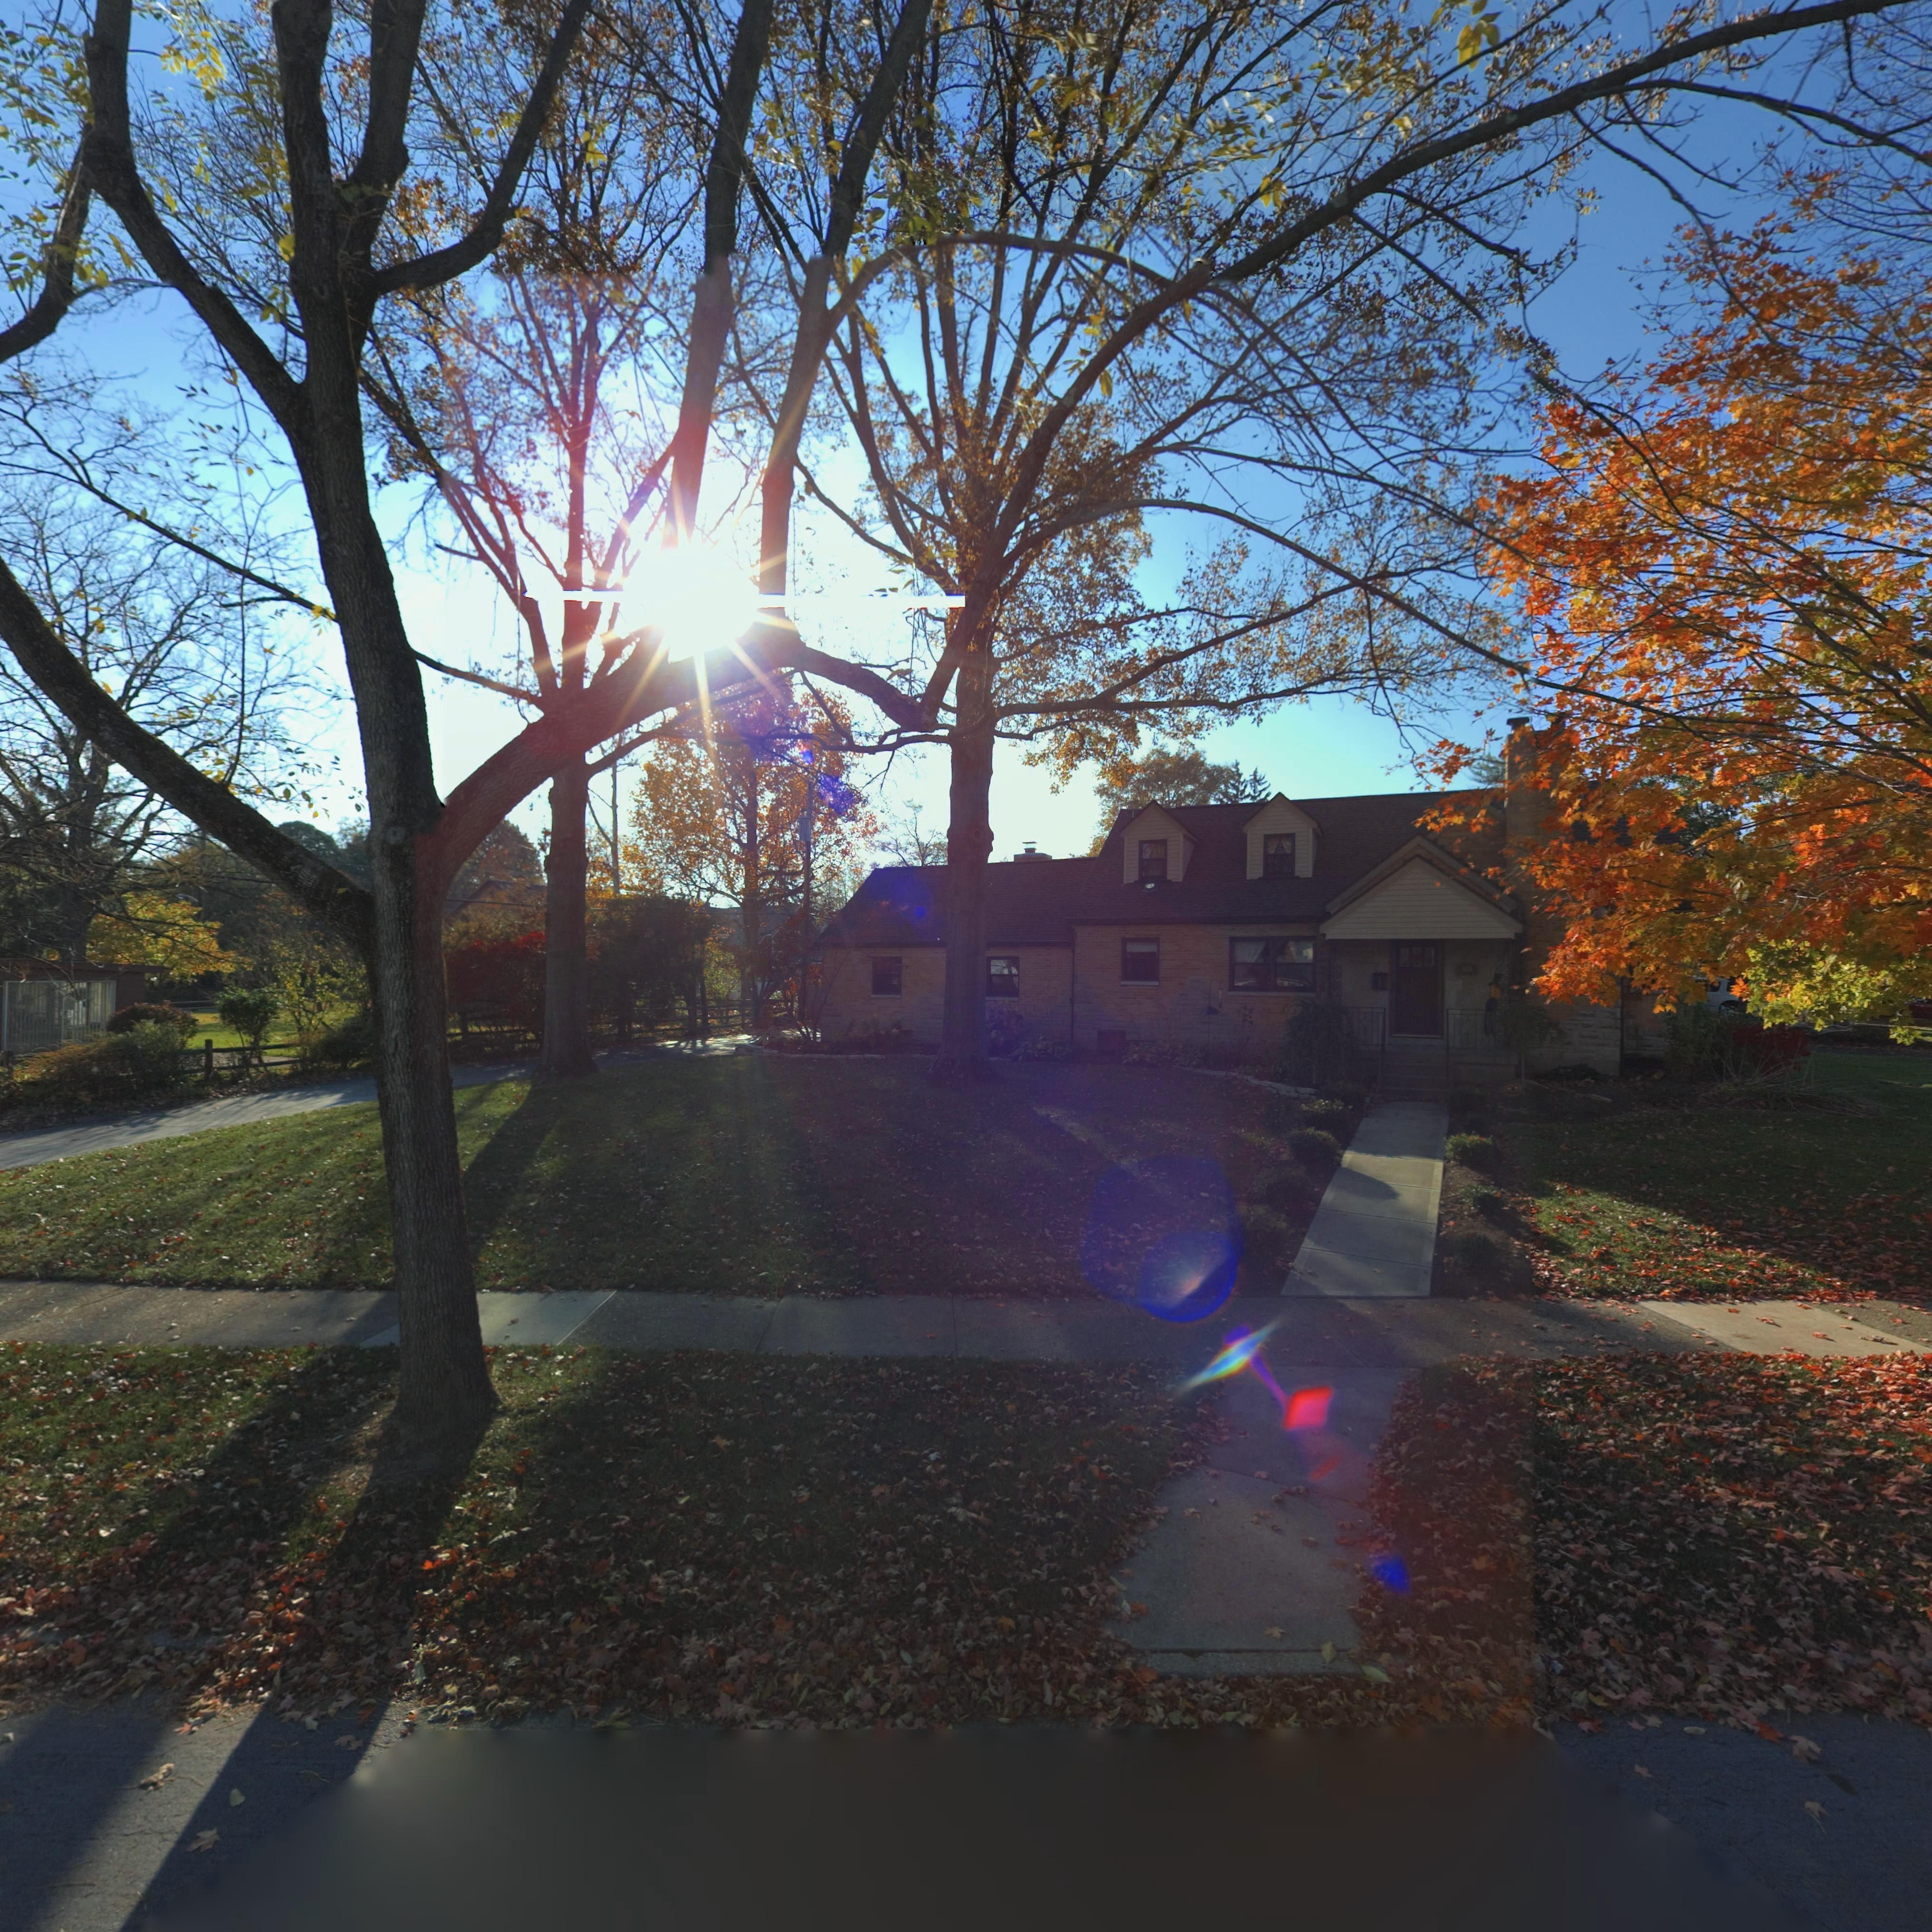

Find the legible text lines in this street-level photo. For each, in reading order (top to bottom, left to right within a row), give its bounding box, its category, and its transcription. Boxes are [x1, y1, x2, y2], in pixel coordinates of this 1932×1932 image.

[1461, 966, 1473, 973] StreetNumber: *0*